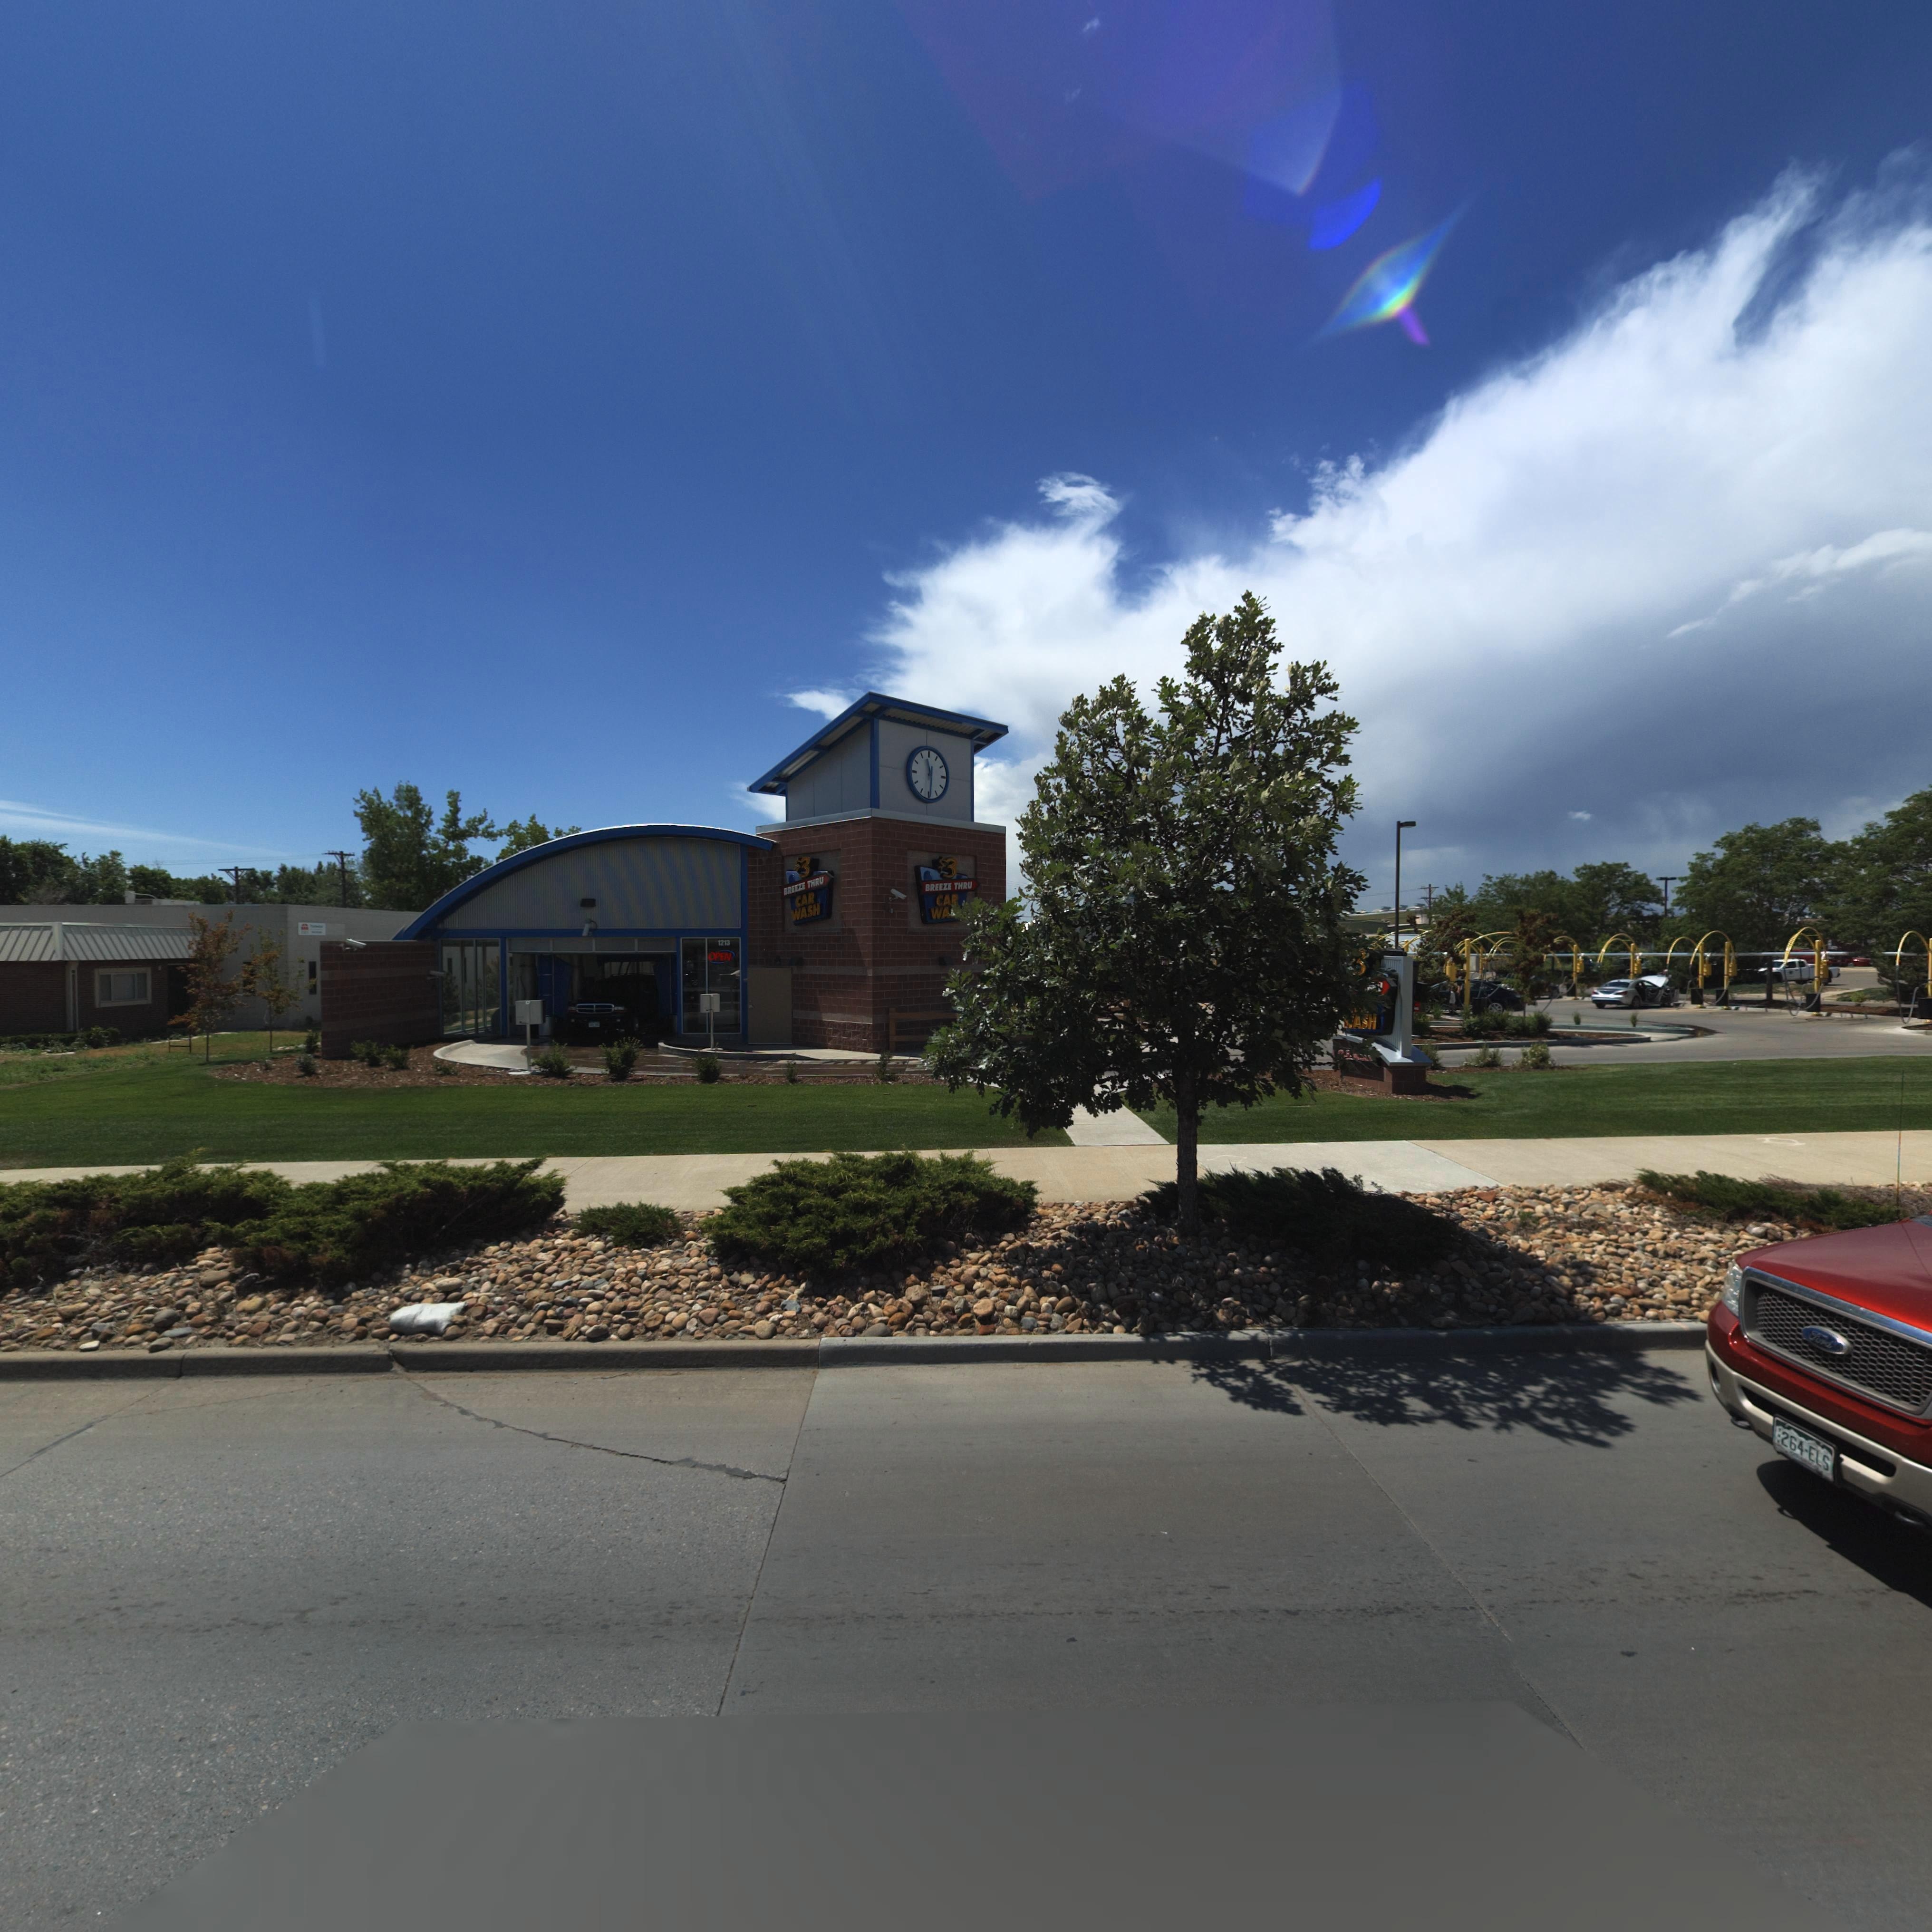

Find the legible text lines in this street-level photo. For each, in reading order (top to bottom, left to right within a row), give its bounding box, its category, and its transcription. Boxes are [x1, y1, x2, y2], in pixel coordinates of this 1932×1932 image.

[783, 876, 824, 896] BusinessName: BREEZE THRU
[925, 881, 972, 891] BusinessName: BREEZE THRU
[795, 891, 814, 907] BusinessName: CAR
[936, 893, 959, 907] StreetName: CA*
[791, 902, 820, 921] BusinessName: WASH
[930, 907, 950, 919] BusinessName: WA
[717, 939, 730, 946] StreetNumber: 1213
[1352, 1014, 1377, 1030] BusinessName: A*H